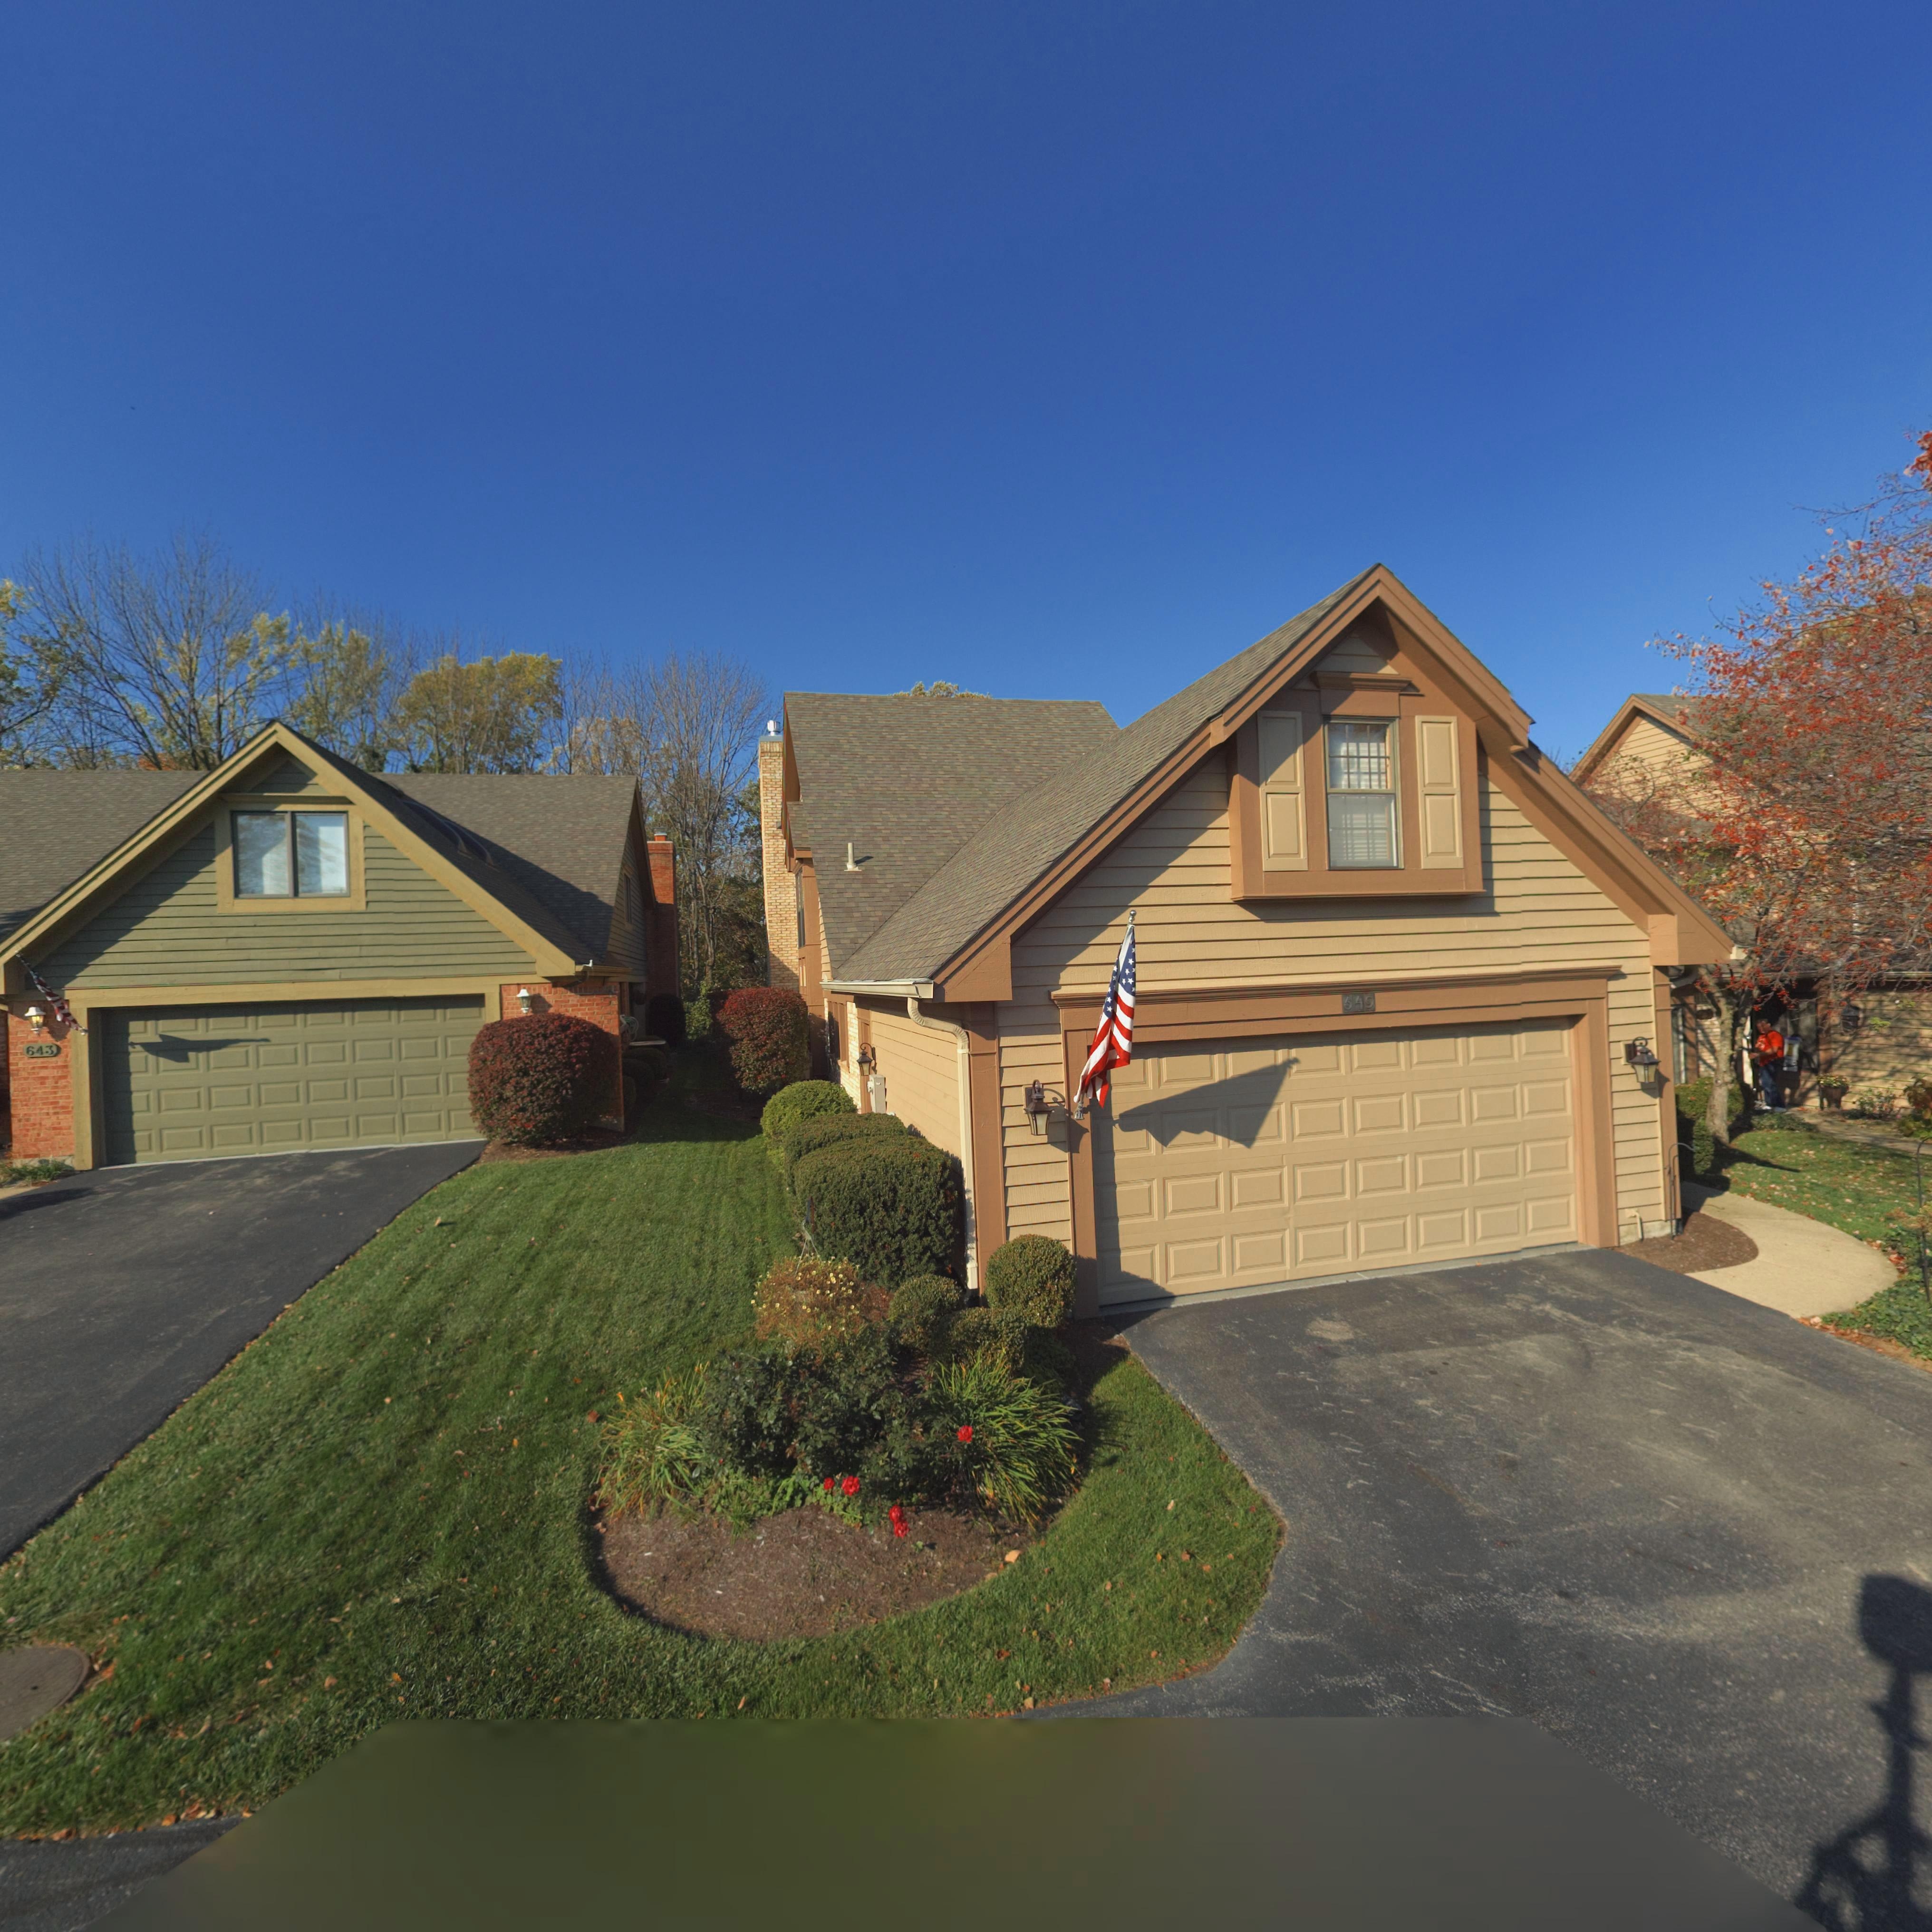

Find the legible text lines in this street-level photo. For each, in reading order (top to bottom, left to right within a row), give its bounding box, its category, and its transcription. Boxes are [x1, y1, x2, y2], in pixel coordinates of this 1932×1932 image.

[1343, 995, 1376, 1011] StreetNumber: 649
[25, 1045, 53, 1056] StreetNumber: 643